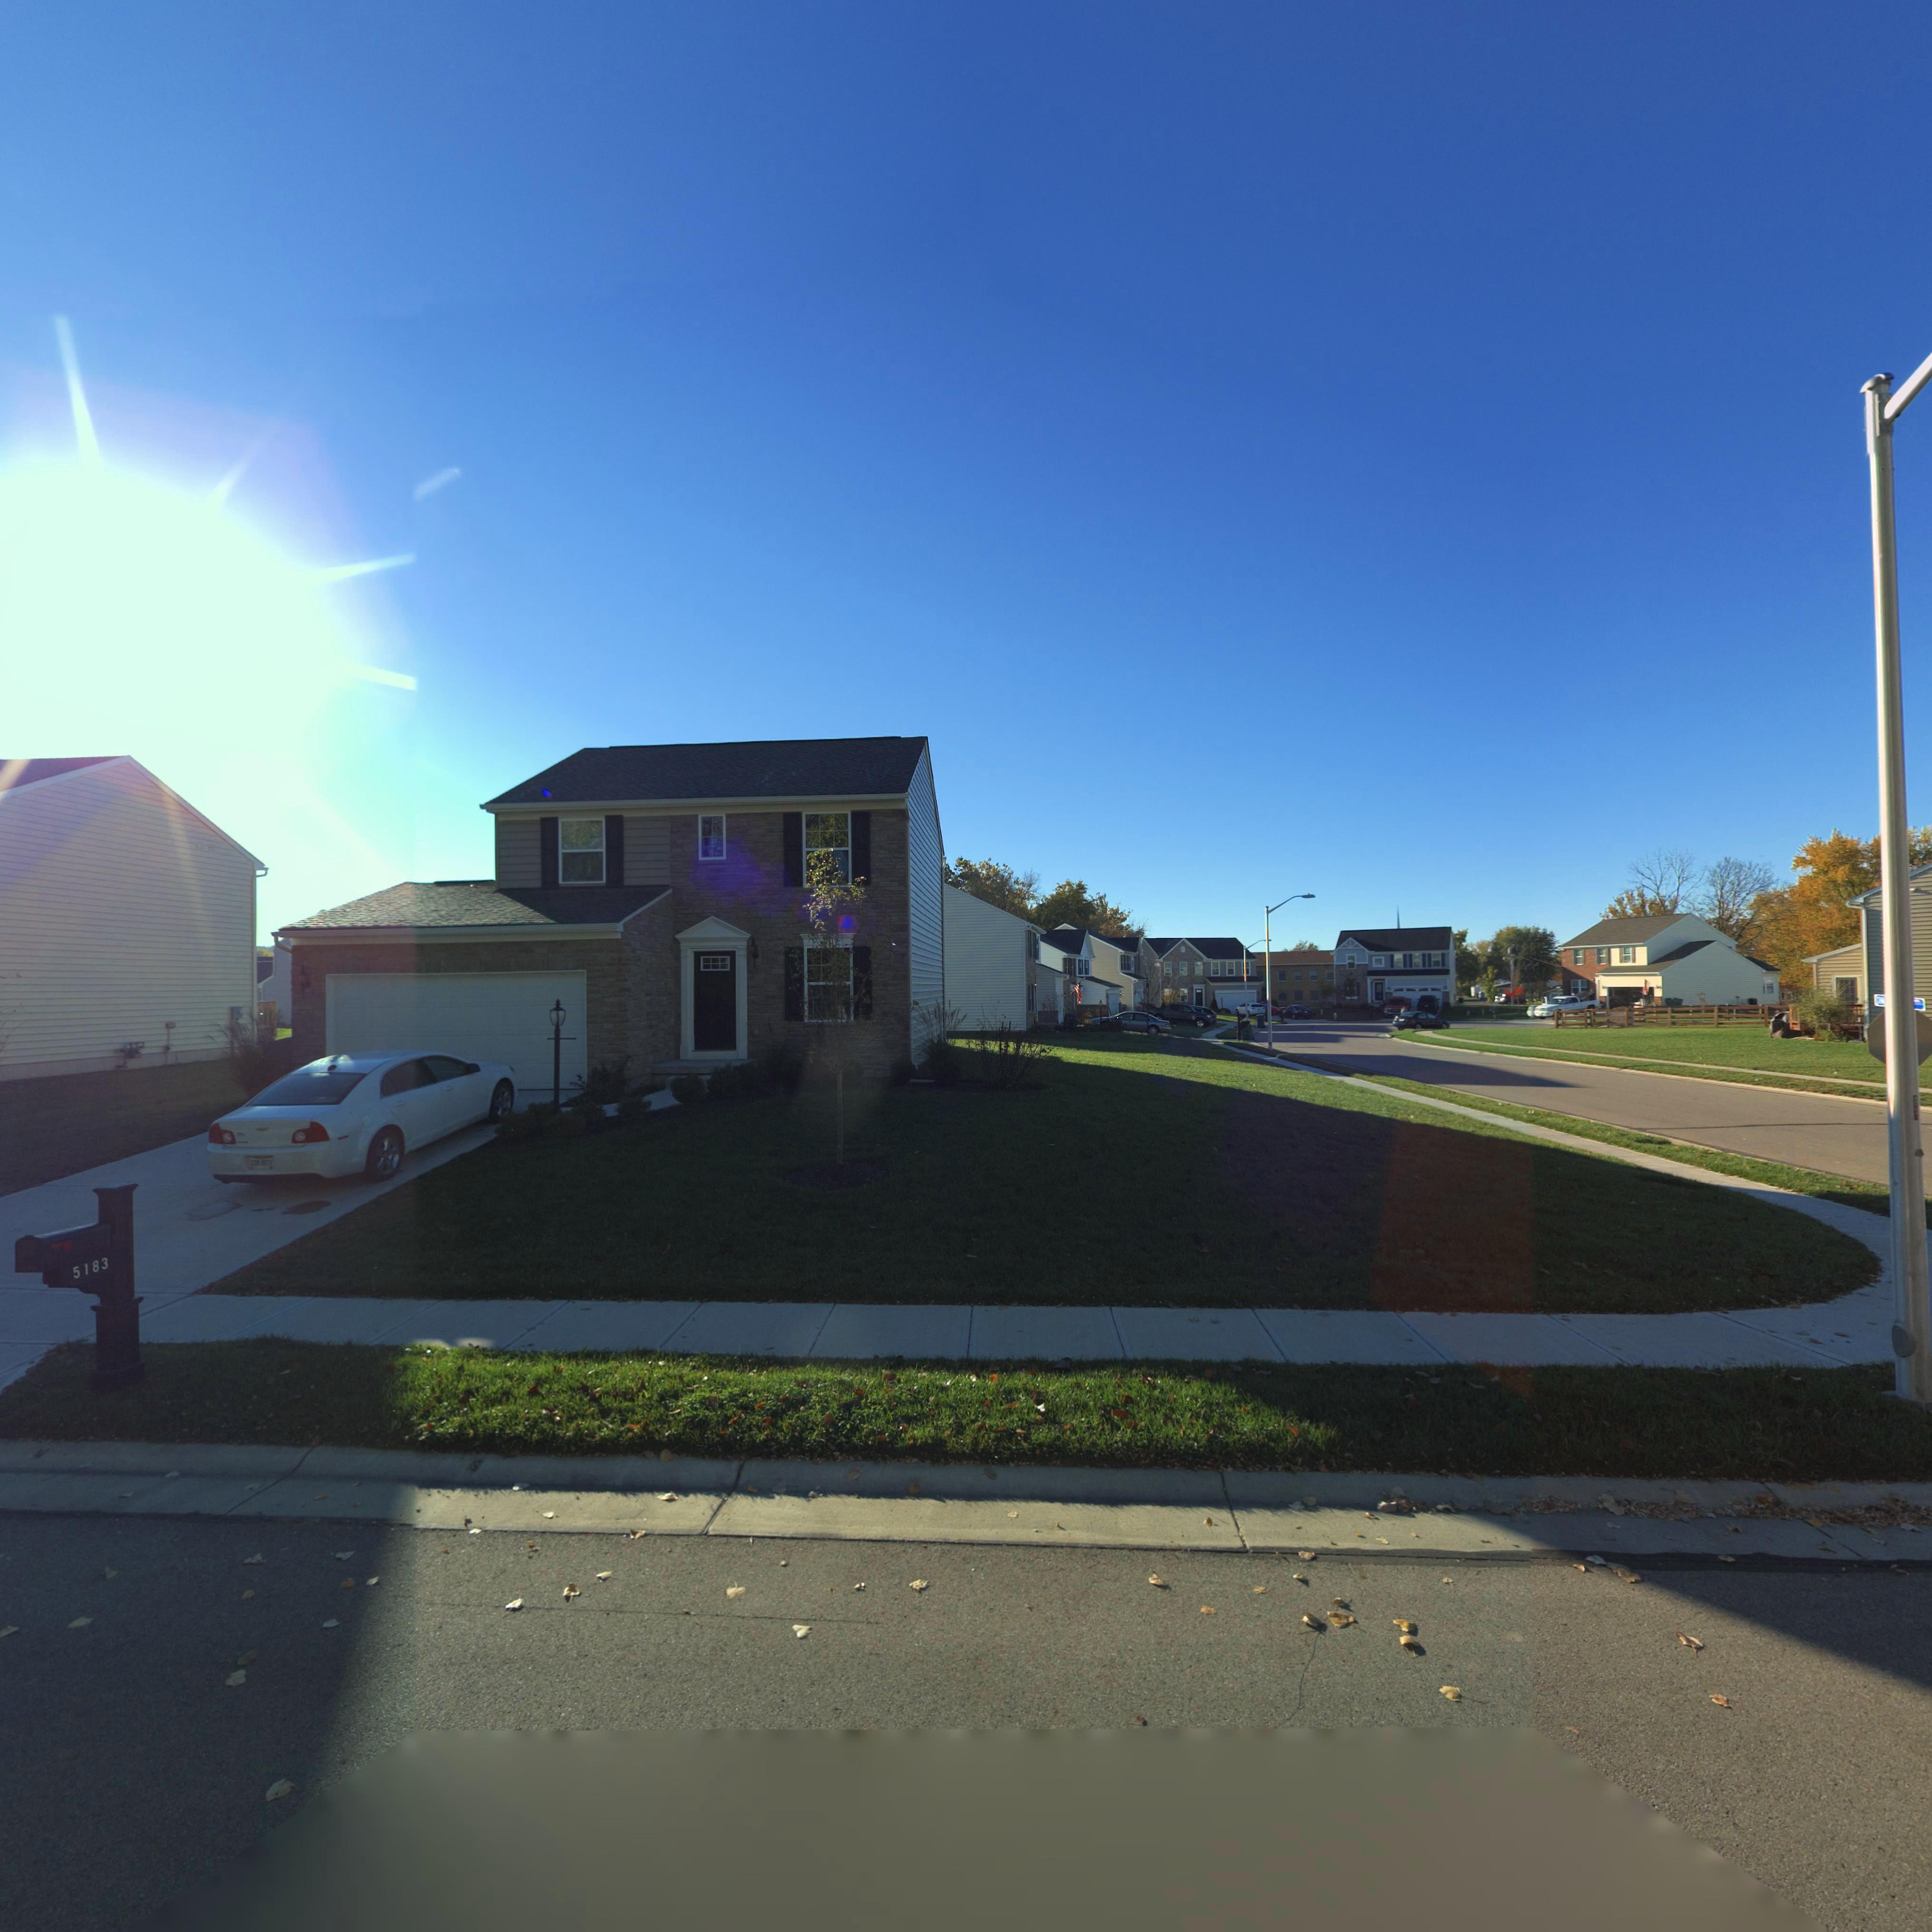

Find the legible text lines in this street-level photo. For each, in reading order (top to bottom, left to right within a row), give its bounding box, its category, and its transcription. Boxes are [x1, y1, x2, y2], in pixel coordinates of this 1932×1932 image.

[71, 1255, 110, 1281] StreetNumber: 5183